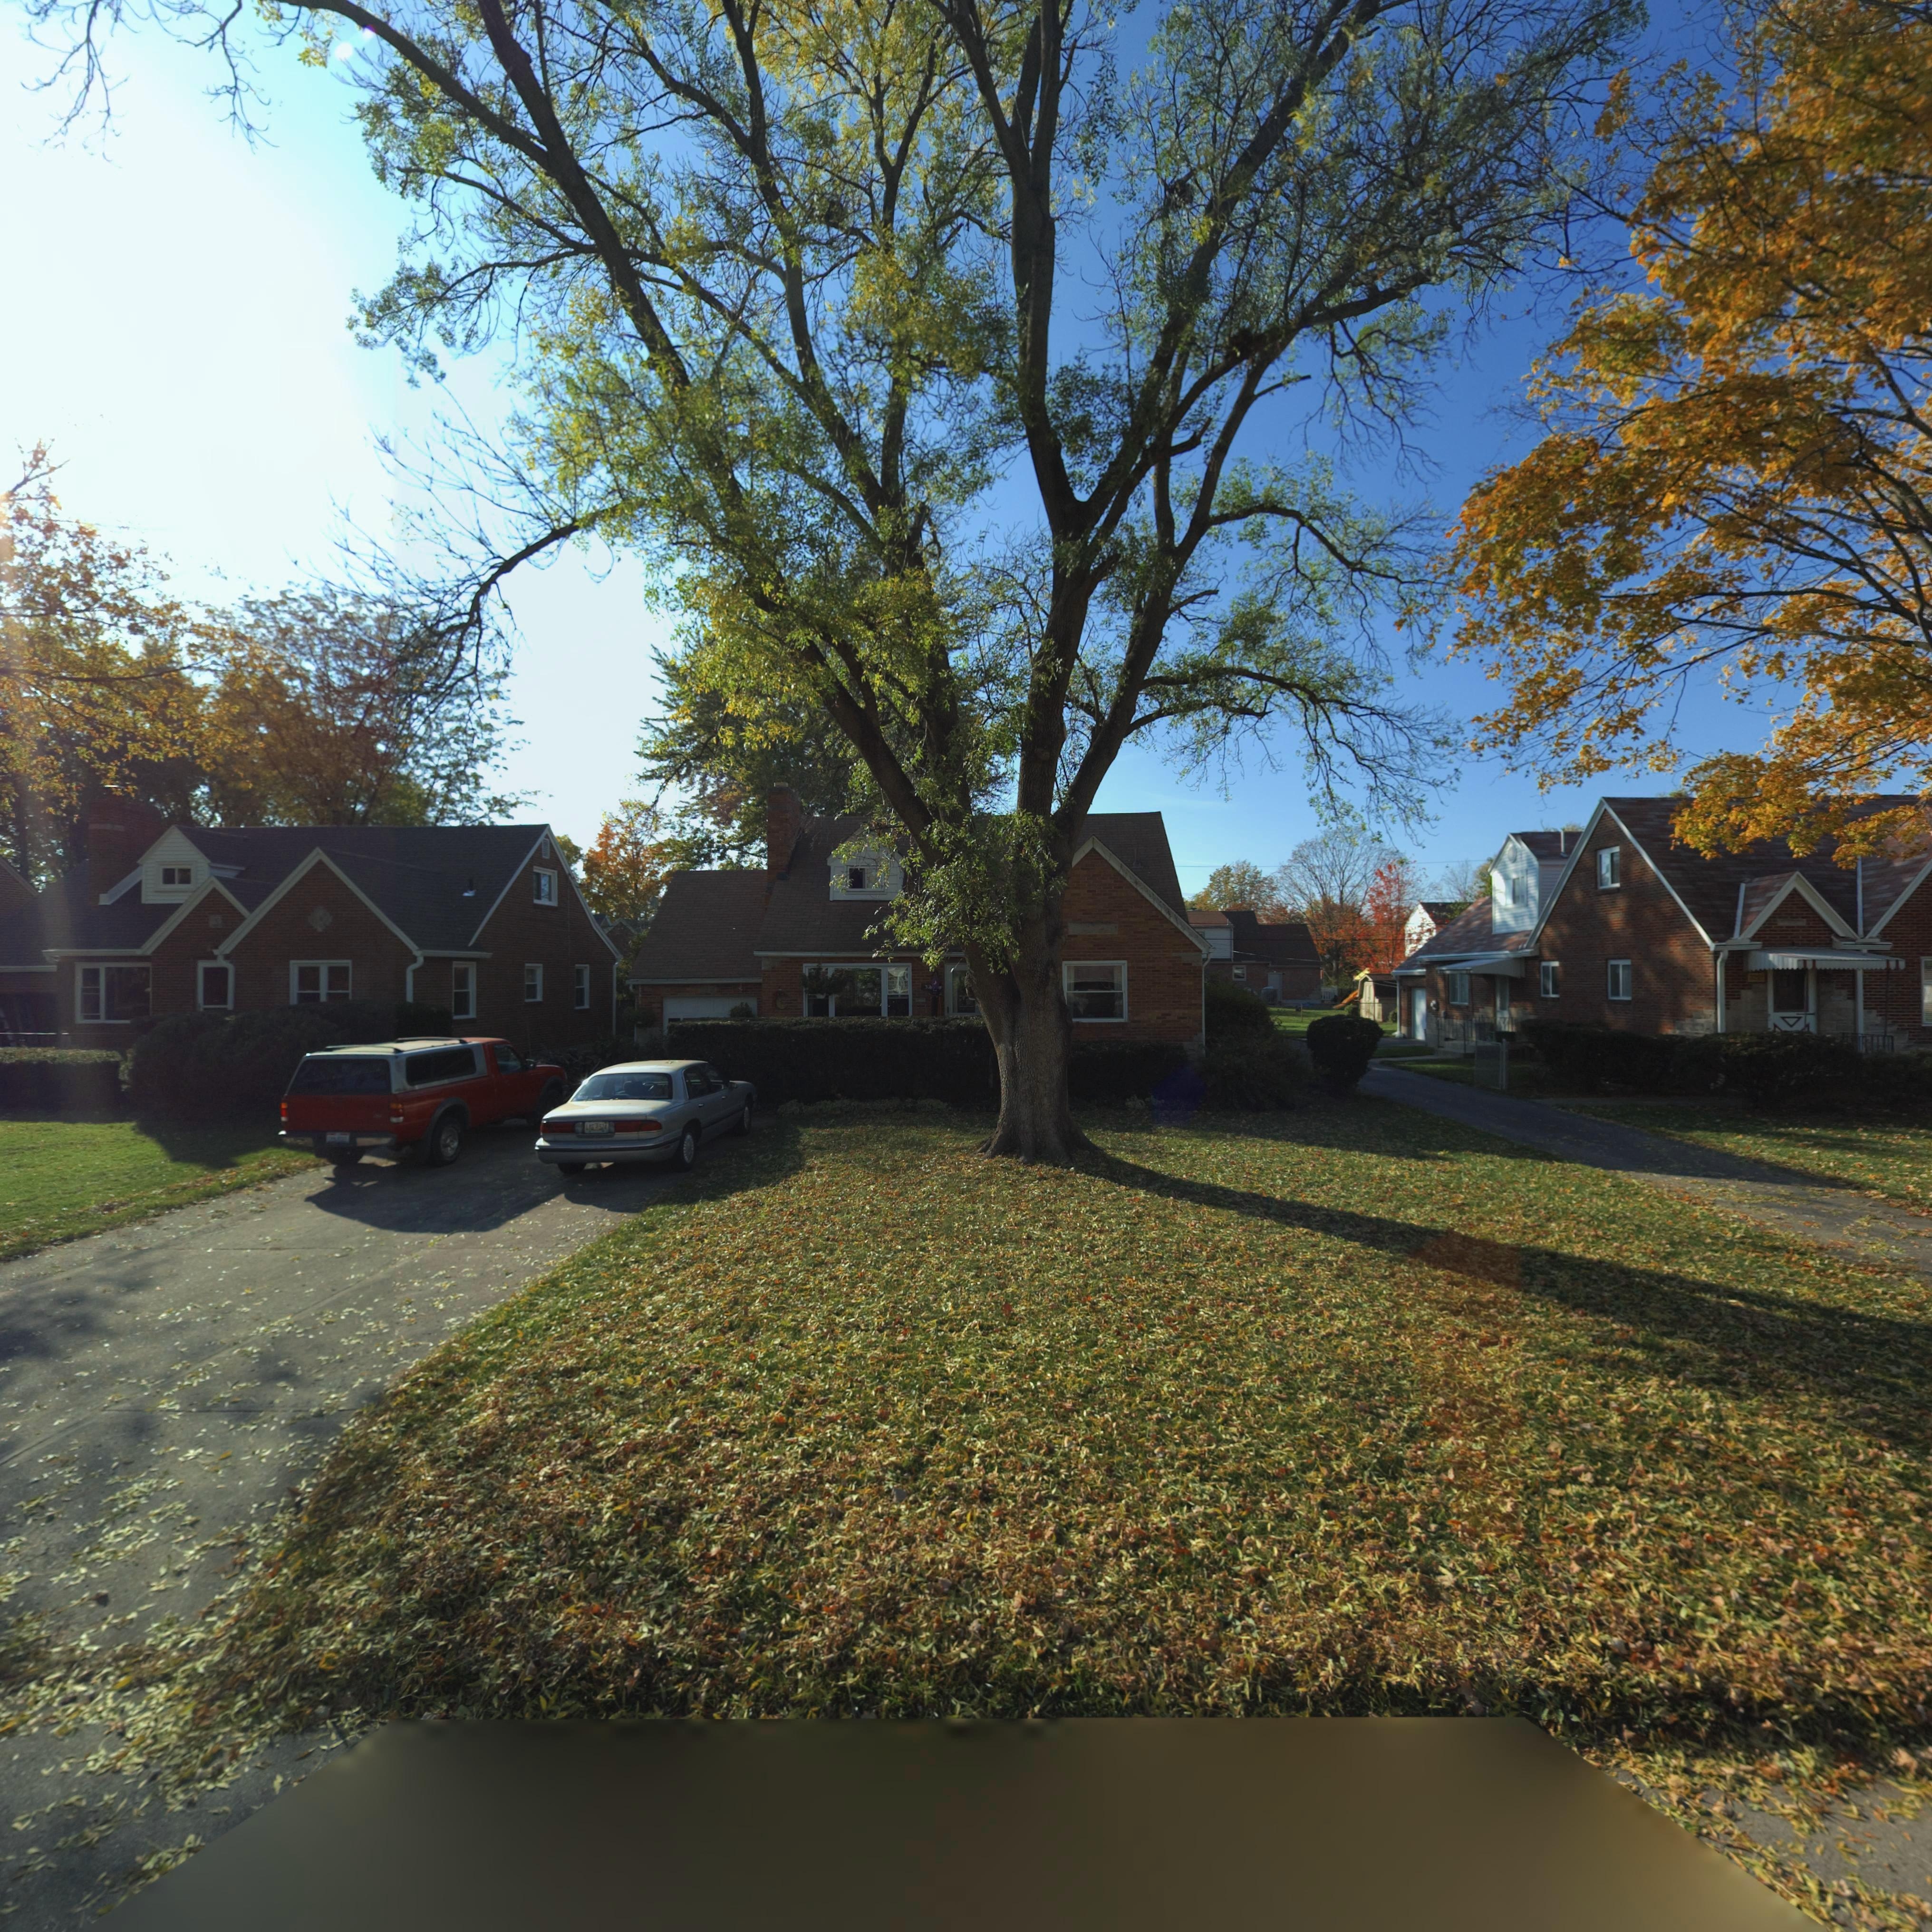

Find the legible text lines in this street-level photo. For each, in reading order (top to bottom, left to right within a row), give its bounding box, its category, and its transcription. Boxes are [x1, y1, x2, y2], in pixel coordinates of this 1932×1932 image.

[1748, 974, 1764, 980] StreetNumber: 322*
[924, 984, 931, 989] StreetNumber: 3*